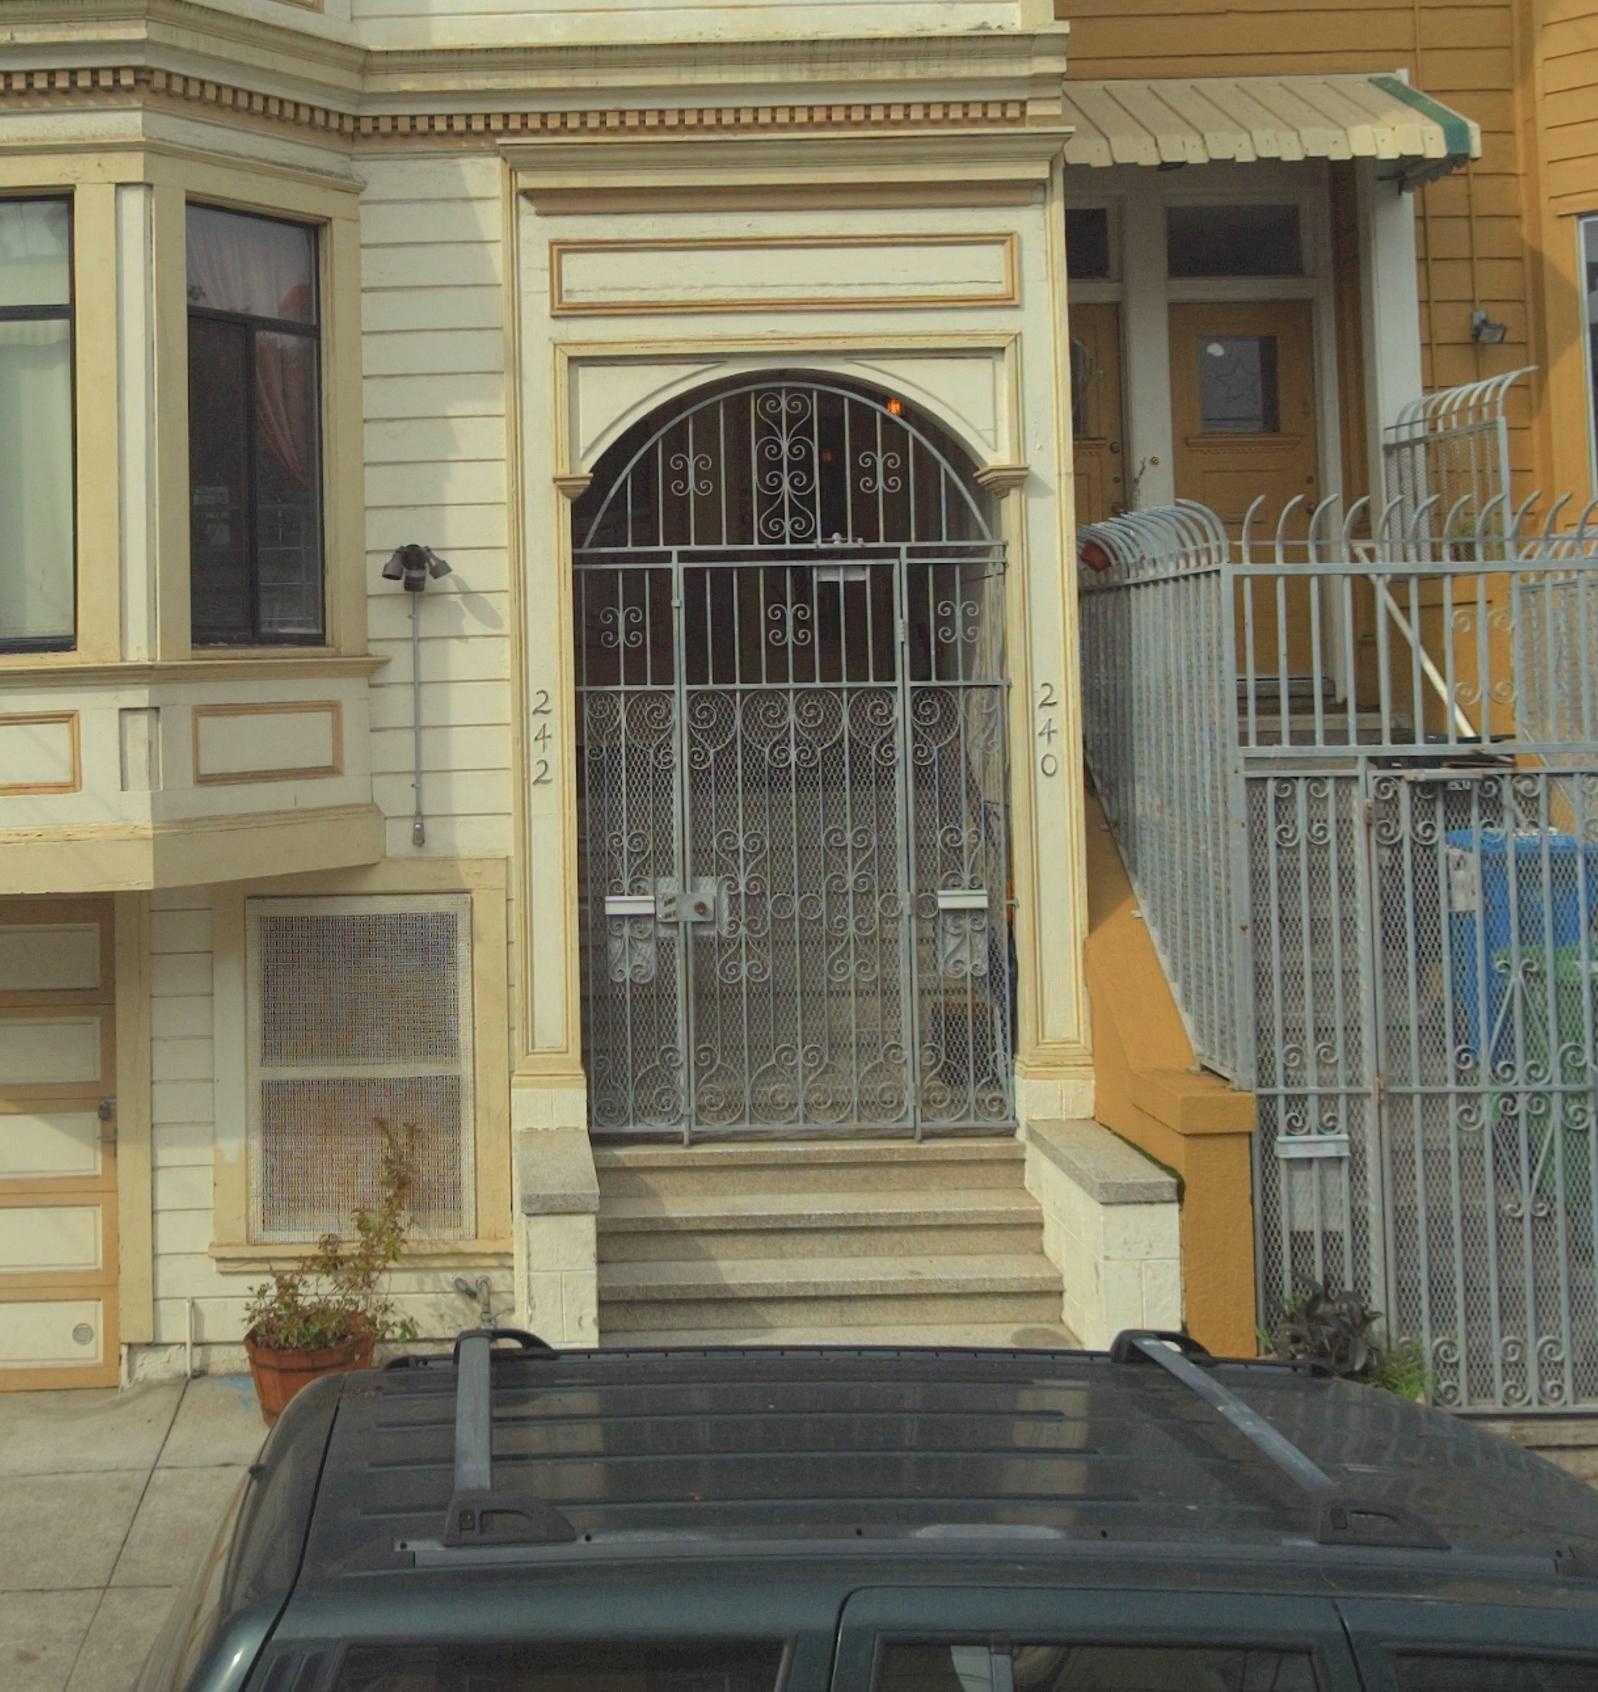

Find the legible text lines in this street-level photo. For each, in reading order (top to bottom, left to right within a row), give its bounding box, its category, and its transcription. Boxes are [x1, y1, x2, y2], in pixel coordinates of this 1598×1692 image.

[529, 688, 555, 788] StreetNumber: 242
[1037, 680, 1059, 778] StreetNumber: 240